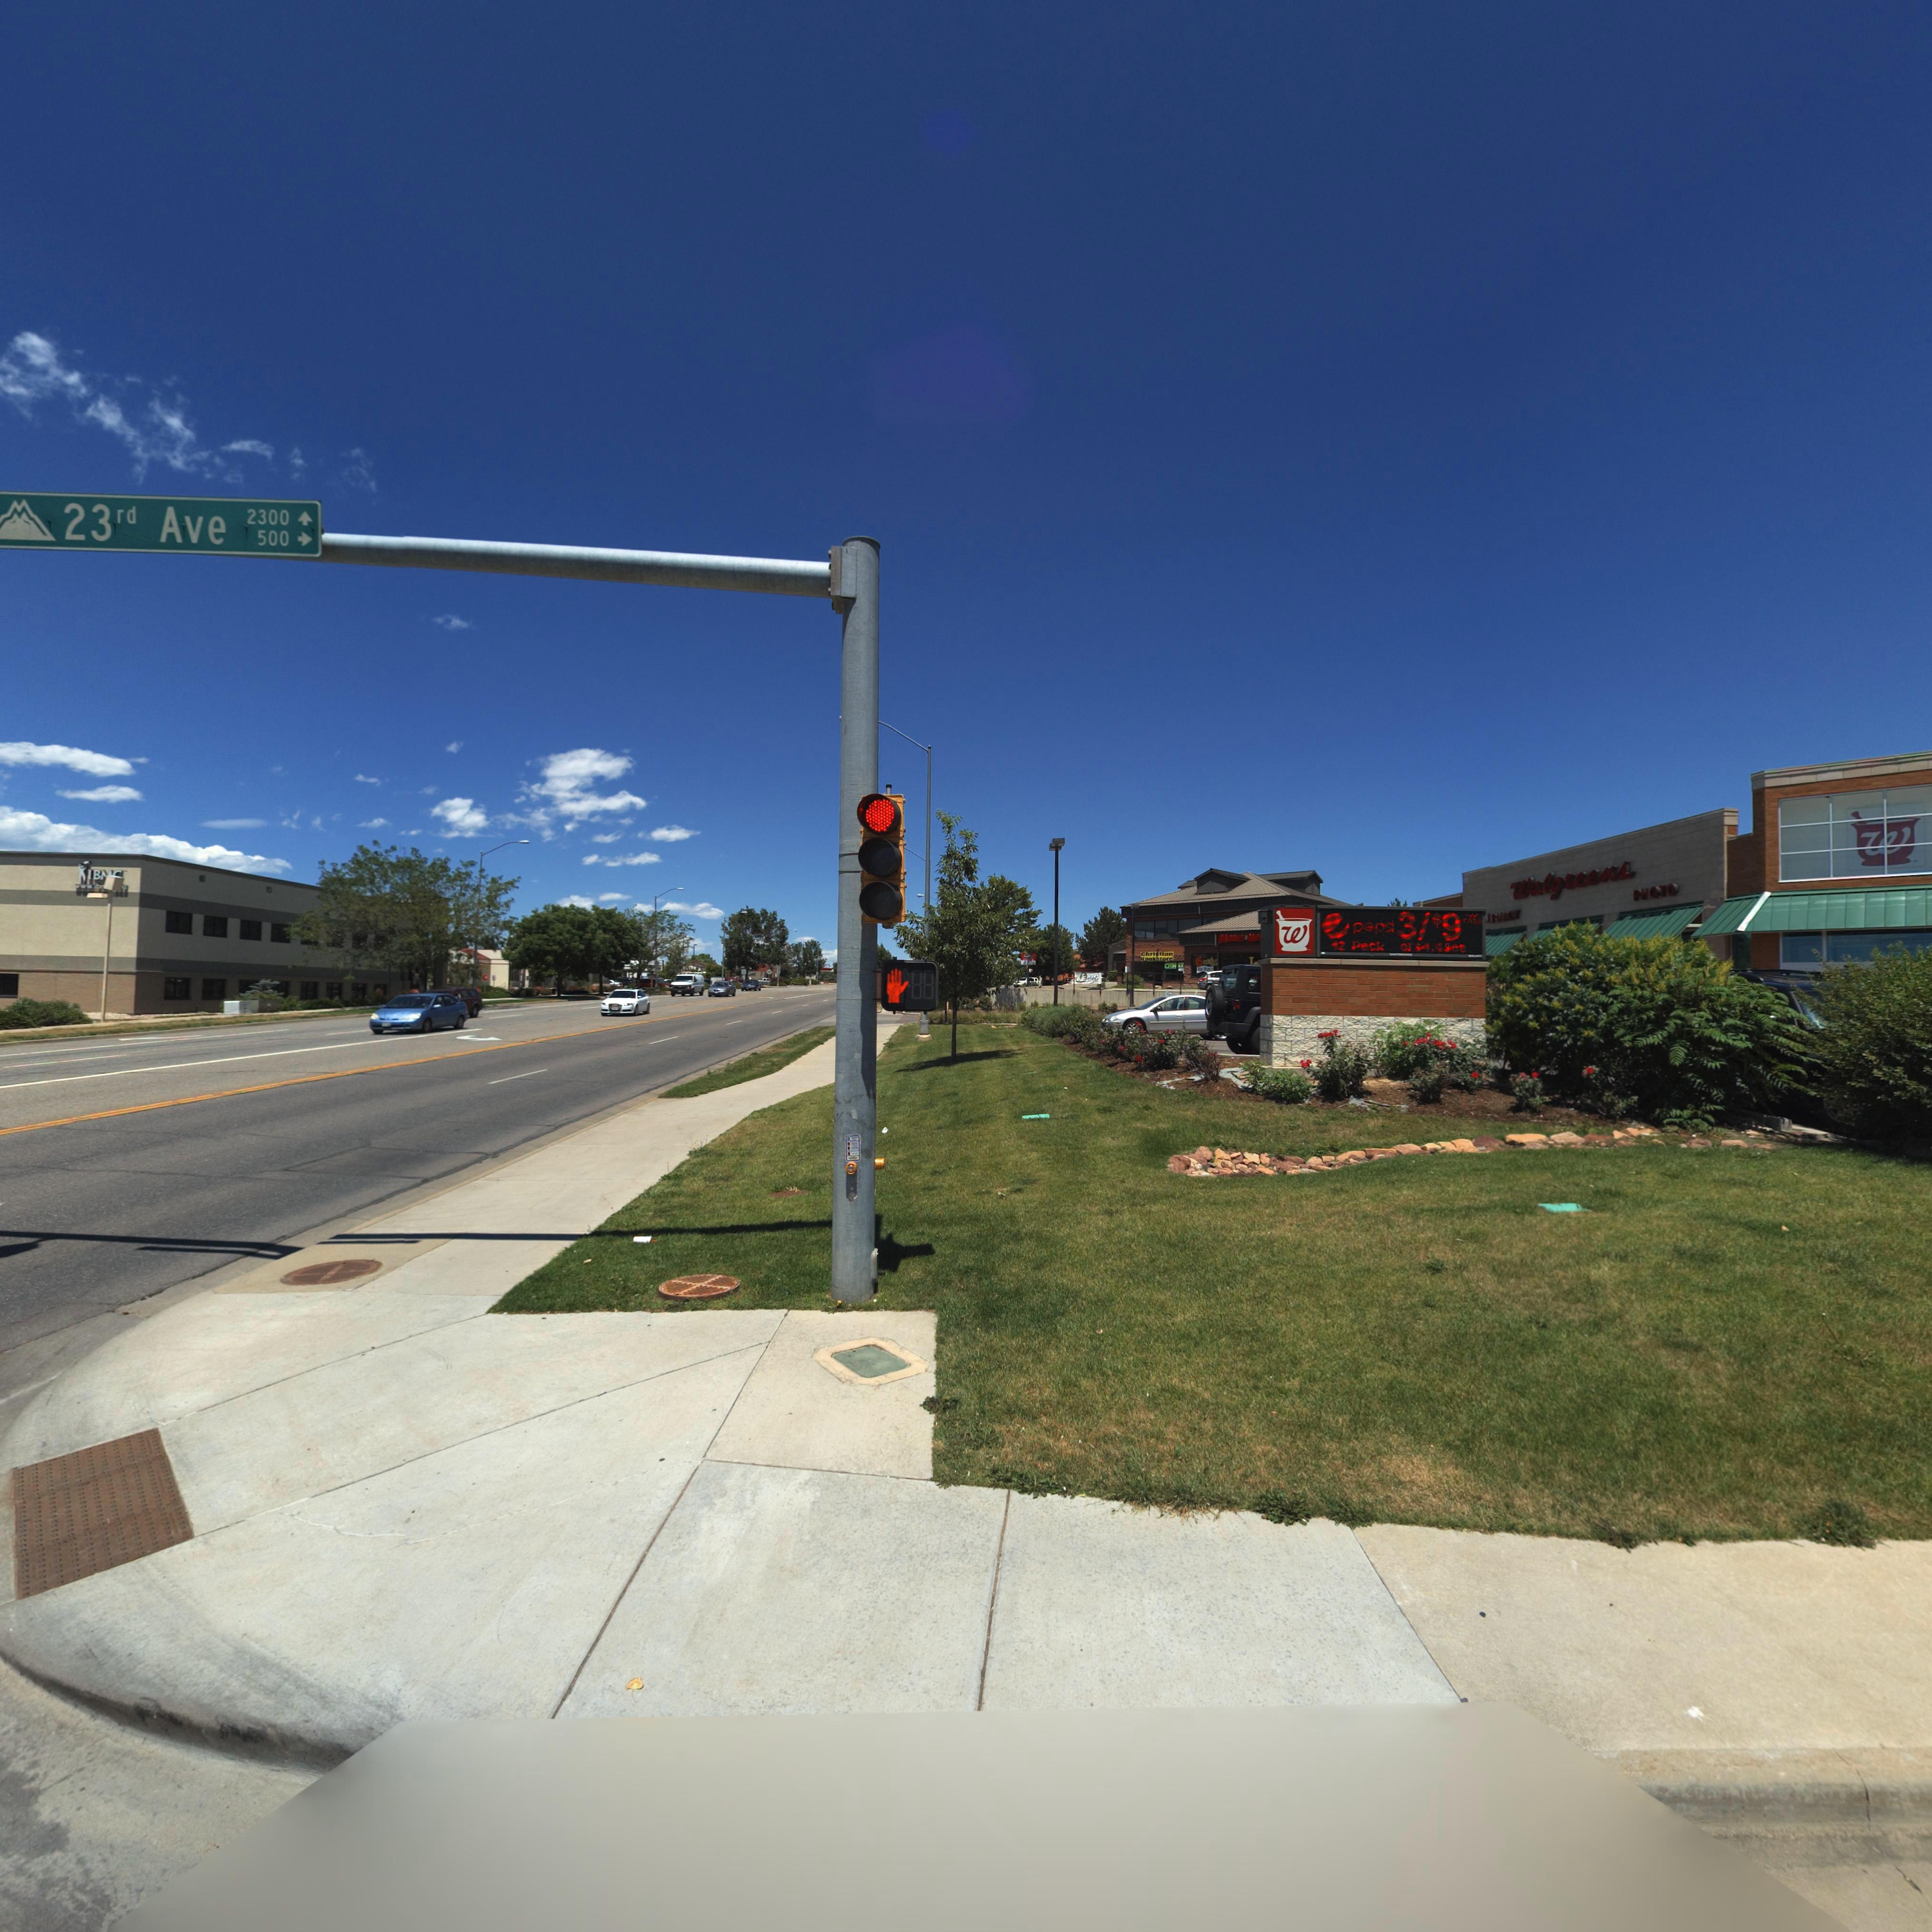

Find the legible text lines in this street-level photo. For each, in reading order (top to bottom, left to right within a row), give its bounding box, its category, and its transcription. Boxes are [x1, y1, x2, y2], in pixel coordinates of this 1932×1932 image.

[62, 501, 226, 546] StreetName: 23rd Ave
[246, 508, 290, 526] StreetNumberRange: 2300
[257, 529, 313, 547] StreetNumberRange: 500->
[87, 869, 123, 880] BusinessName: IM**
[1509, 860, 1633, 900] BusinessName: Walgreens